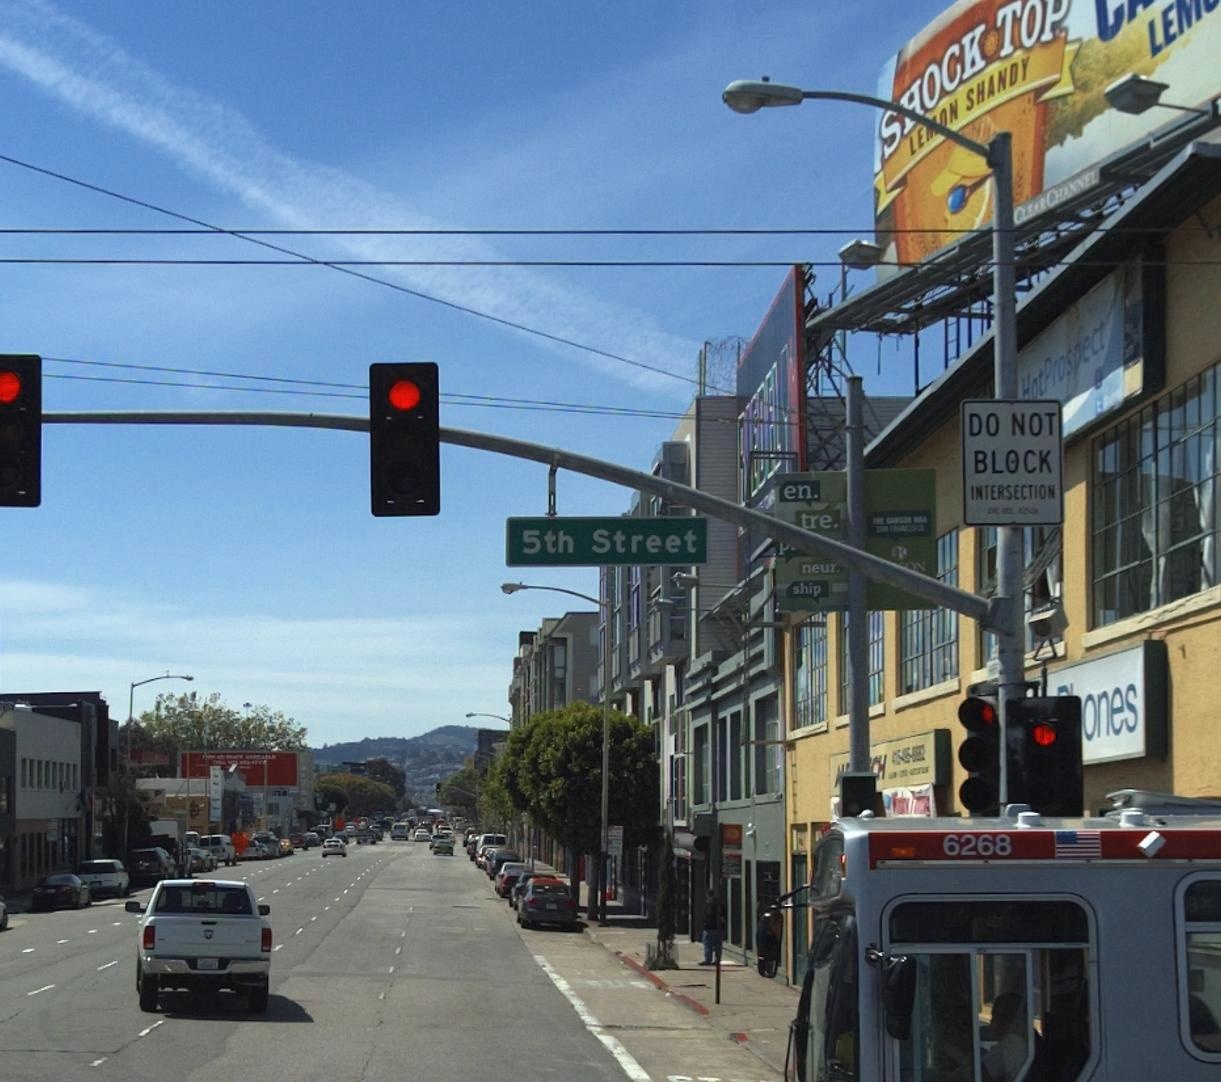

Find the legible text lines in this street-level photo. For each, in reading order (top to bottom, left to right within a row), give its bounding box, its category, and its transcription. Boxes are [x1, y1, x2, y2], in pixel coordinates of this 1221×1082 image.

[1145, 0, 1180, 65] None: LE
[878, 2, 1071, 164] None: SHOCK TOP
[907, 52, 1032, 158] None: LEMON SHANDY
[1012, 164, 1101, 226] None: CLEAR CHANNEL
[1019, 312, 1110, 407] None: HotProspect
[968, 410, 1060, 436] None: DO NOT
[972, 447, 1056, 475] None: BLOCK
[782, 484, 819, 500] None: en.
[969, 483, 1058, 502] None: INTERSECTION
[799, 511, 840, 529] None: tre.
[517, 523, 702, 558] StreetName: 5th Street
[801, 562, 841, 574] None: neur.
[791, 580, 824, 597] None: ship
[1082, 680, 1137, 743] None: ONES
[941, 833, 1015, 857] None: 6268